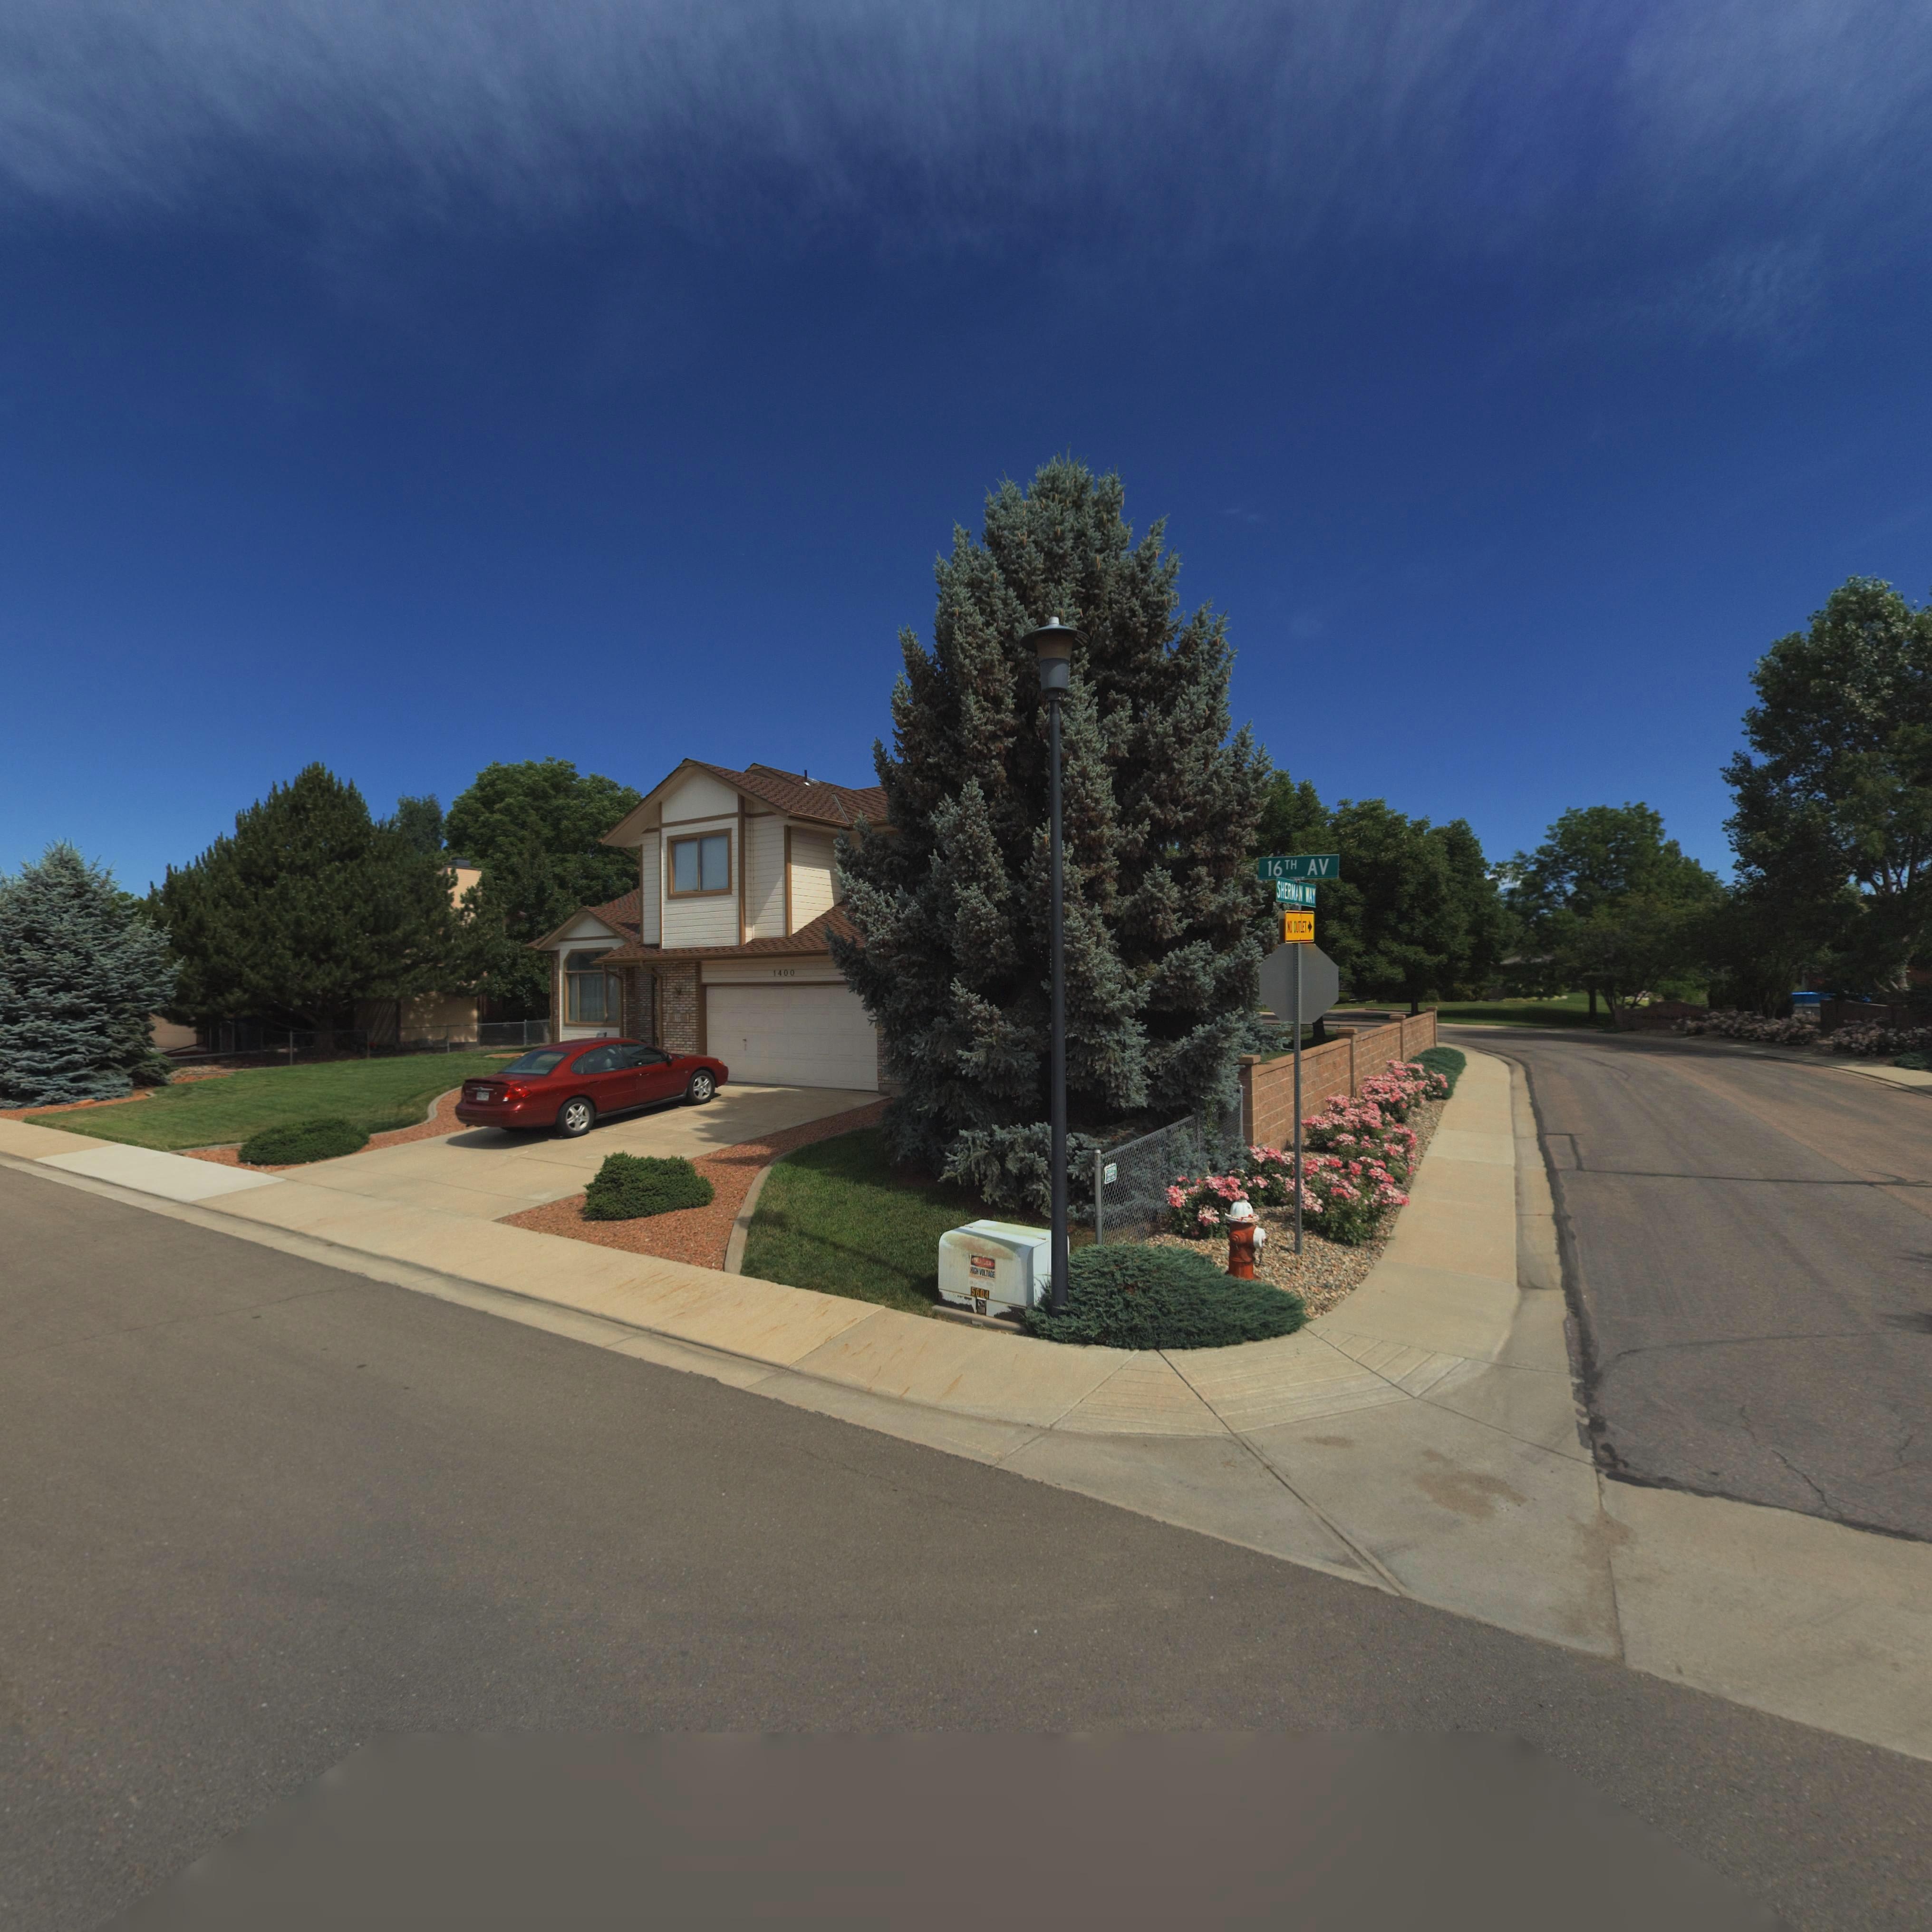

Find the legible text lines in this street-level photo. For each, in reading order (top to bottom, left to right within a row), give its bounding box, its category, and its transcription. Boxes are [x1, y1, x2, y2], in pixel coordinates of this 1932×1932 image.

[1267, 858, 1329, 877] StreetName: 16TH AV
[1276, 880, 1316, 904] StreetName: SHERMAN WAY
[773, 969, 794, 976] StreetNumber: 1400